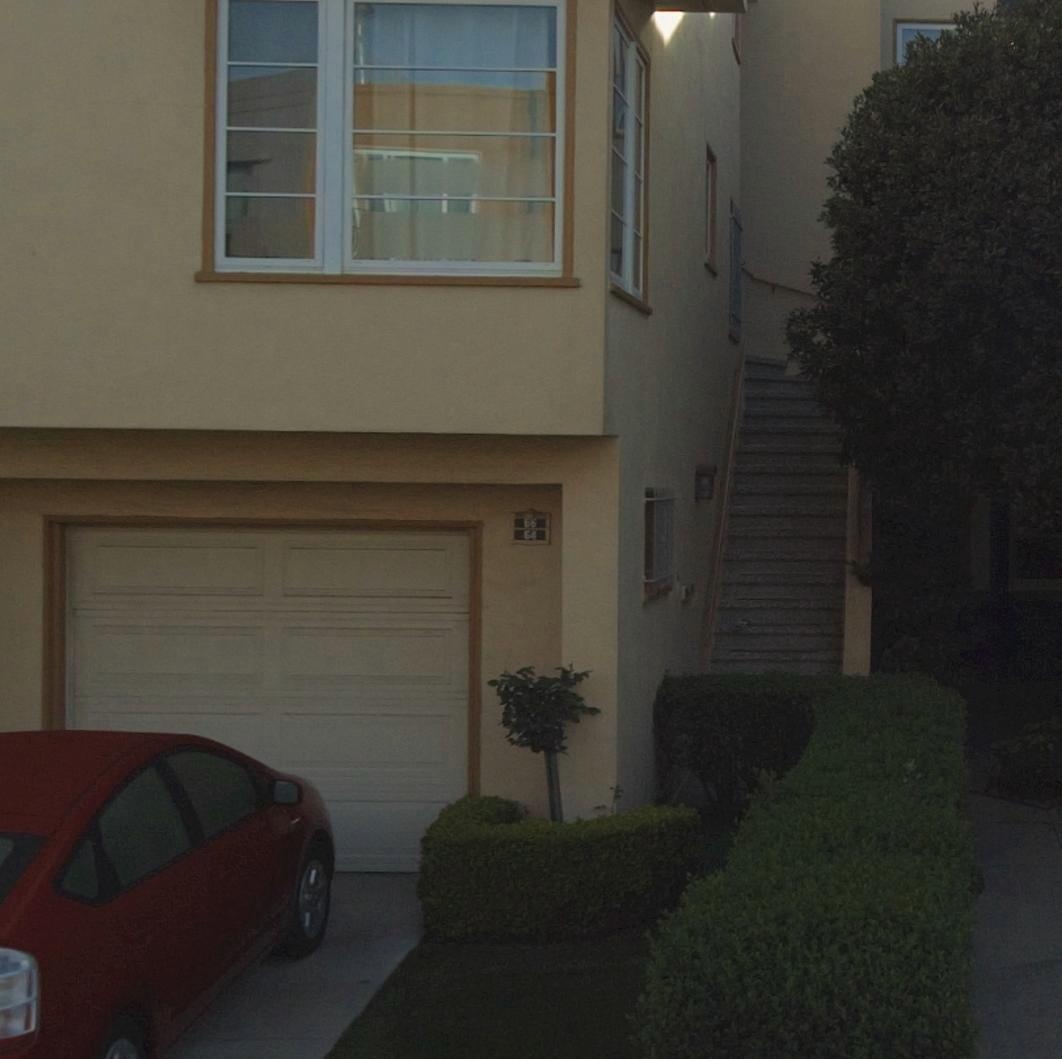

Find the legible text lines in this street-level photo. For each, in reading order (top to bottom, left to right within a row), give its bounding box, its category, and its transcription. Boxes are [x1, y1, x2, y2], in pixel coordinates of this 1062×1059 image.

[522, 517, 538, 529] StreetNumber: 66
[522, 529, 538, 542] StreetNumber: 64